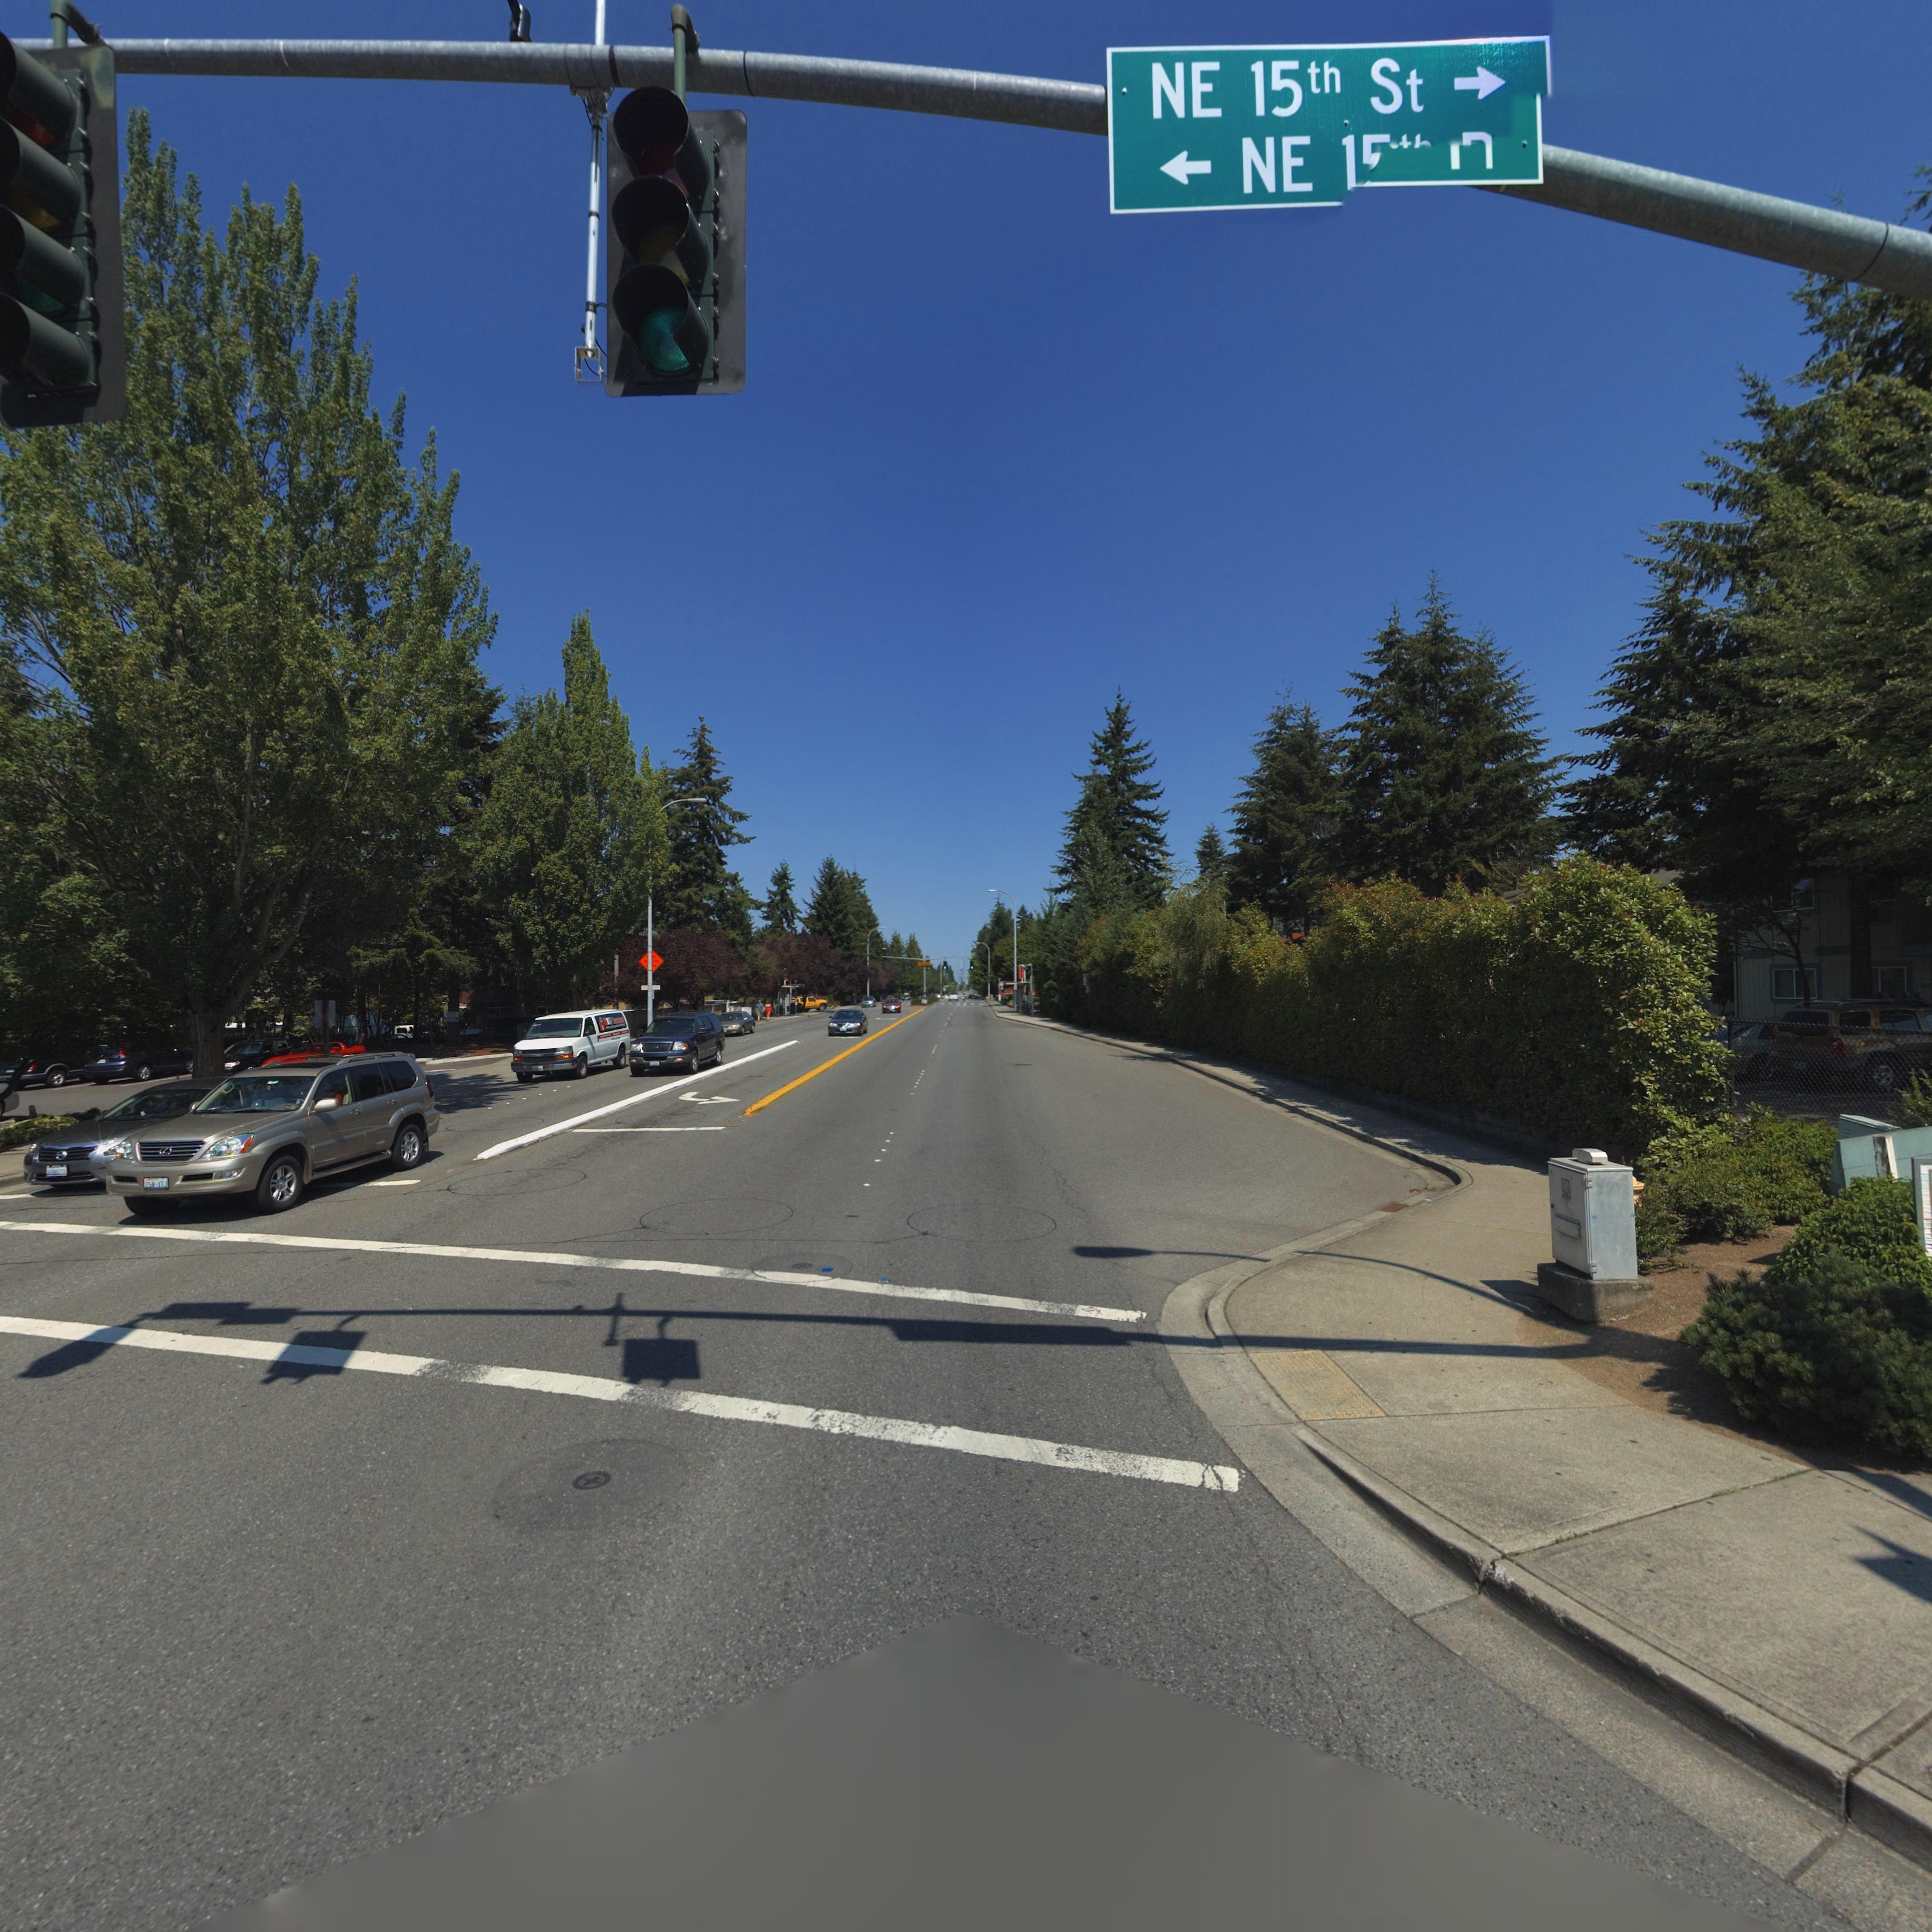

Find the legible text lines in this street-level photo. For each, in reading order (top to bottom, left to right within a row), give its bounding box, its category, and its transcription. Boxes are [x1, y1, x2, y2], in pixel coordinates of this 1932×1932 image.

[1150, 53, 1428, 118] StreetName: NE 15th St
[1238, 129, 1395, 195] StreetName: NE 1*